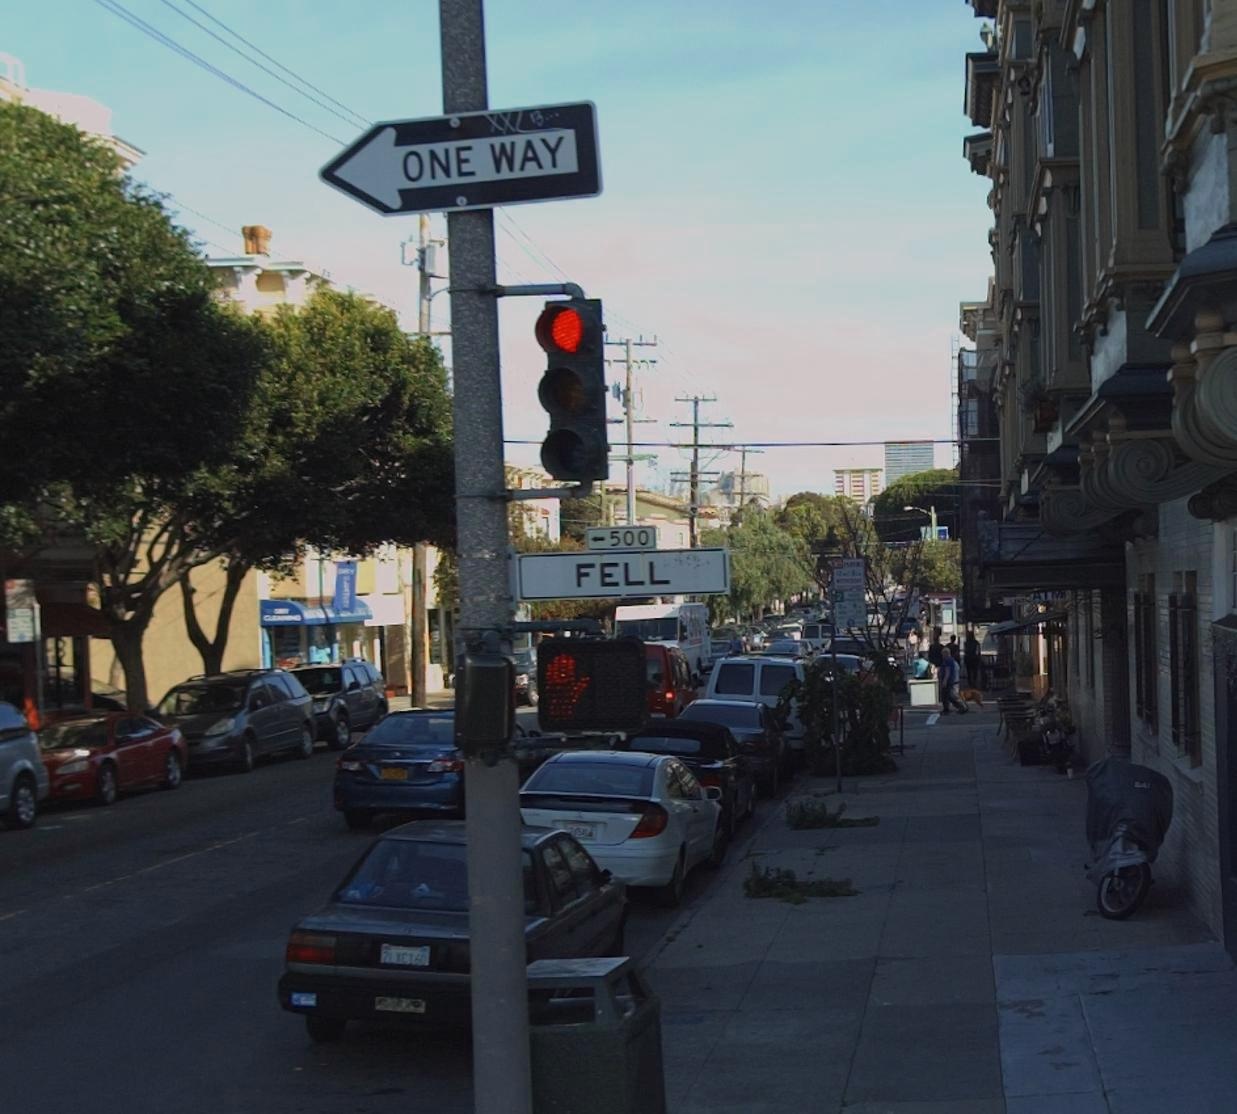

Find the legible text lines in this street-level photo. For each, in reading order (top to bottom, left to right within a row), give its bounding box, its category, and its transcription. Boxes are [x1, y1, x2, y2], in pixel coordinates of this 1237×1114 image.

[482, 110, 516, 133] None: XX
[399, 134, 566, 183] None: ONE WAY
[589, 529, 650, 548] StreetNumberRange: <-500
[572, 559, 672, 590] StreetName: FELL
[835, 591, 843, 602] None: 2
[381, 950, 427, 968] None: 2LXC160